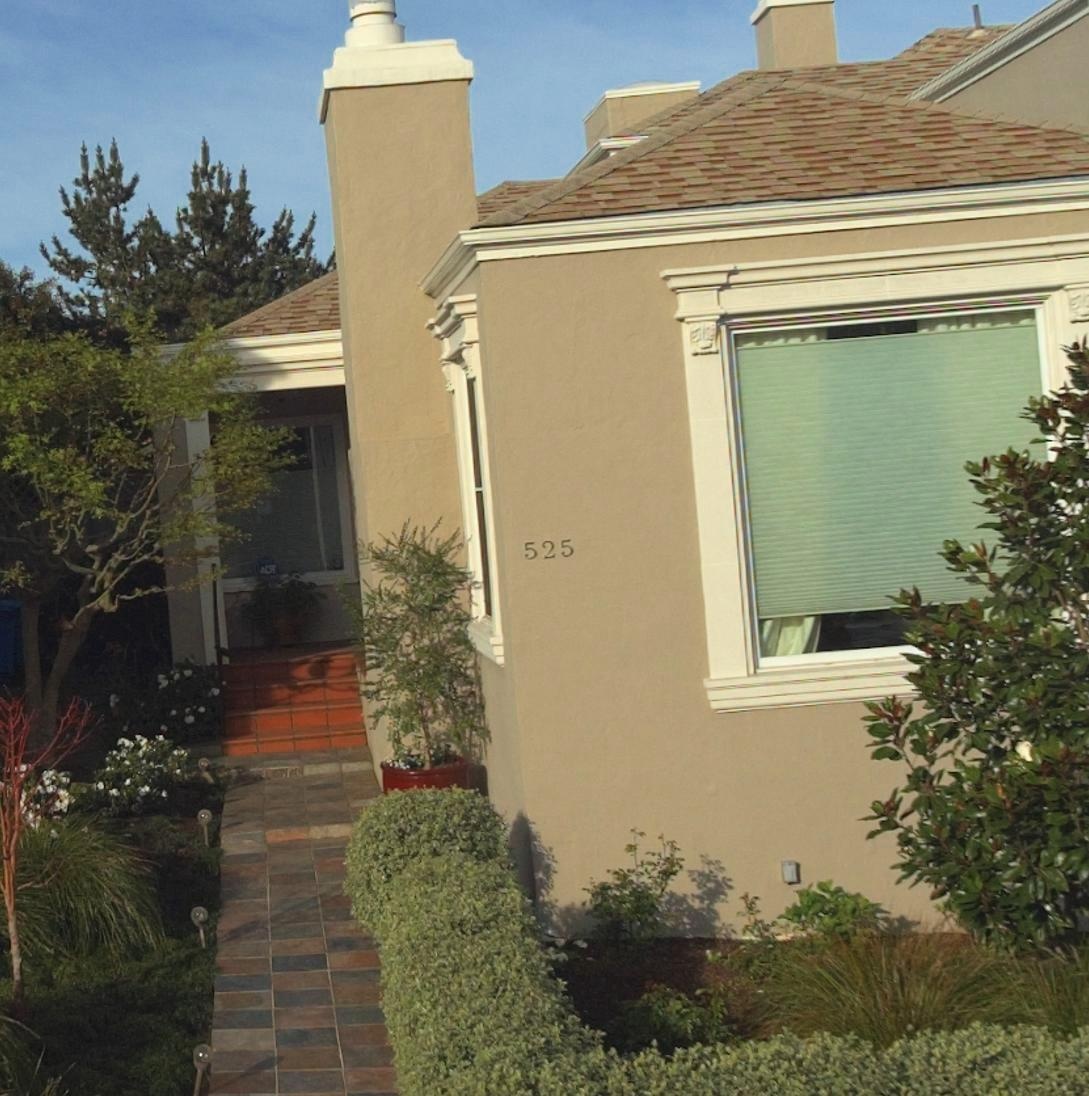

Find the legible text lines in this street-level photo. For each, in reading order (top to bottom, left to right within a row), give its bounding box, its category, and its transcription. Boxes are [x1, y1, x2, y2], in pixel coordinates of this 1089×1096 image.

[523, 535, 576, 562] StreetNumber: 525